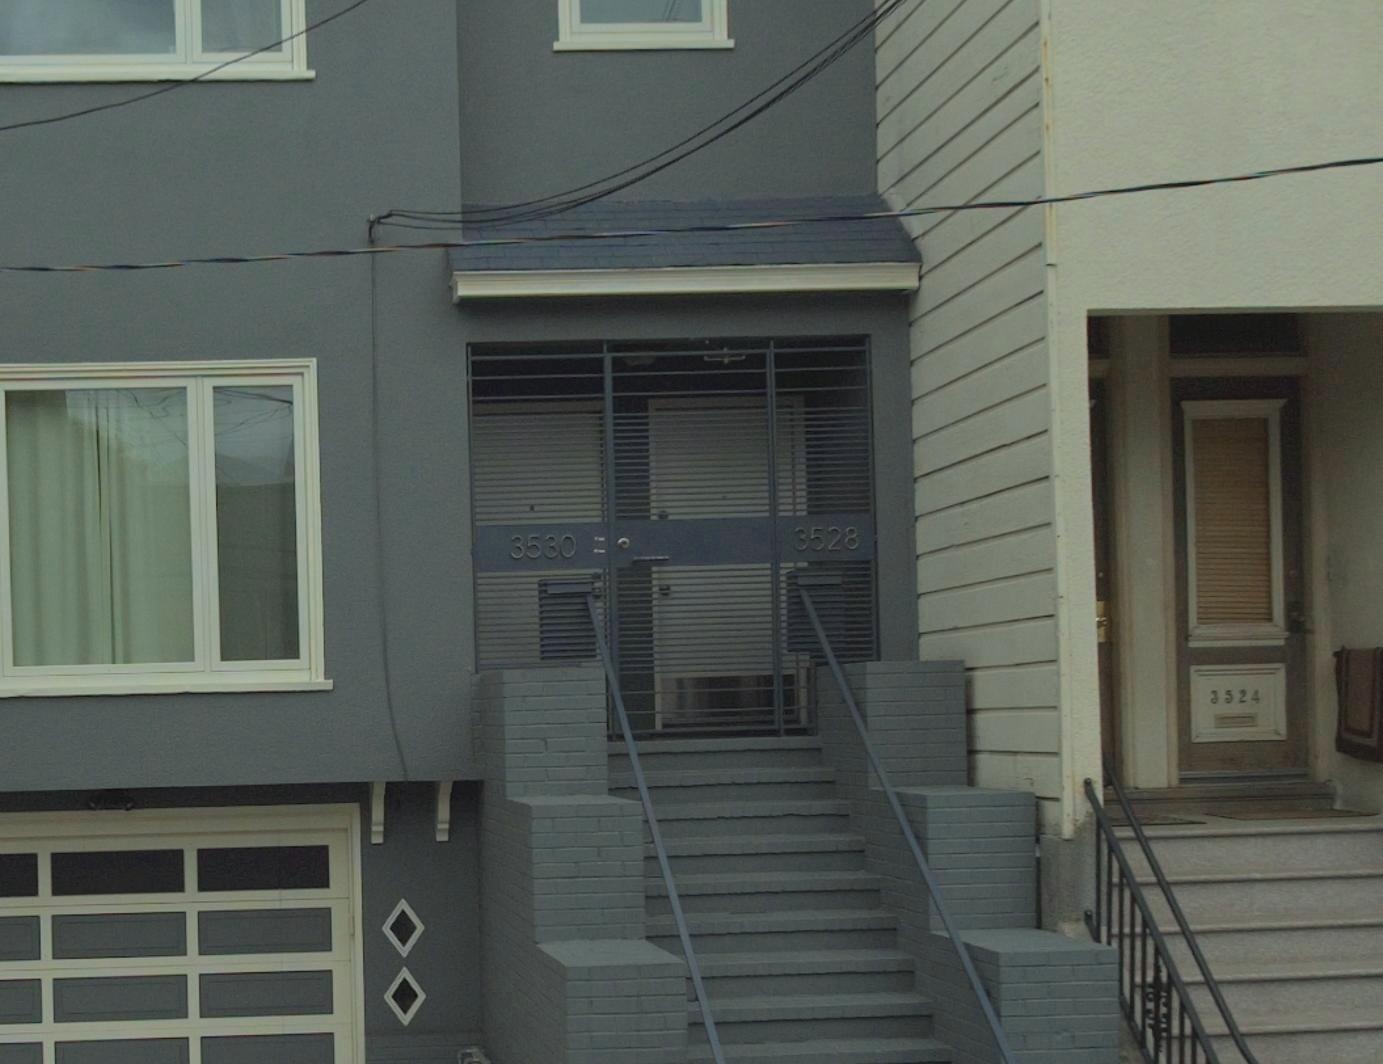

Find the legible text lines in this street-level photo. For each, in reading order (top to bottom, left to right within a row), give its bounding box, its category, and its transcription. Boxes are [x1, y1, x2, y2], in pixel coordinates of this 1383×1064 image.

[509, 532, 578, 560] StreetNumber: 3230
[791, 525, 860, 553] StreetNumber: 3228
[1207, 688, 1262, 706] StreetNumber: 3524